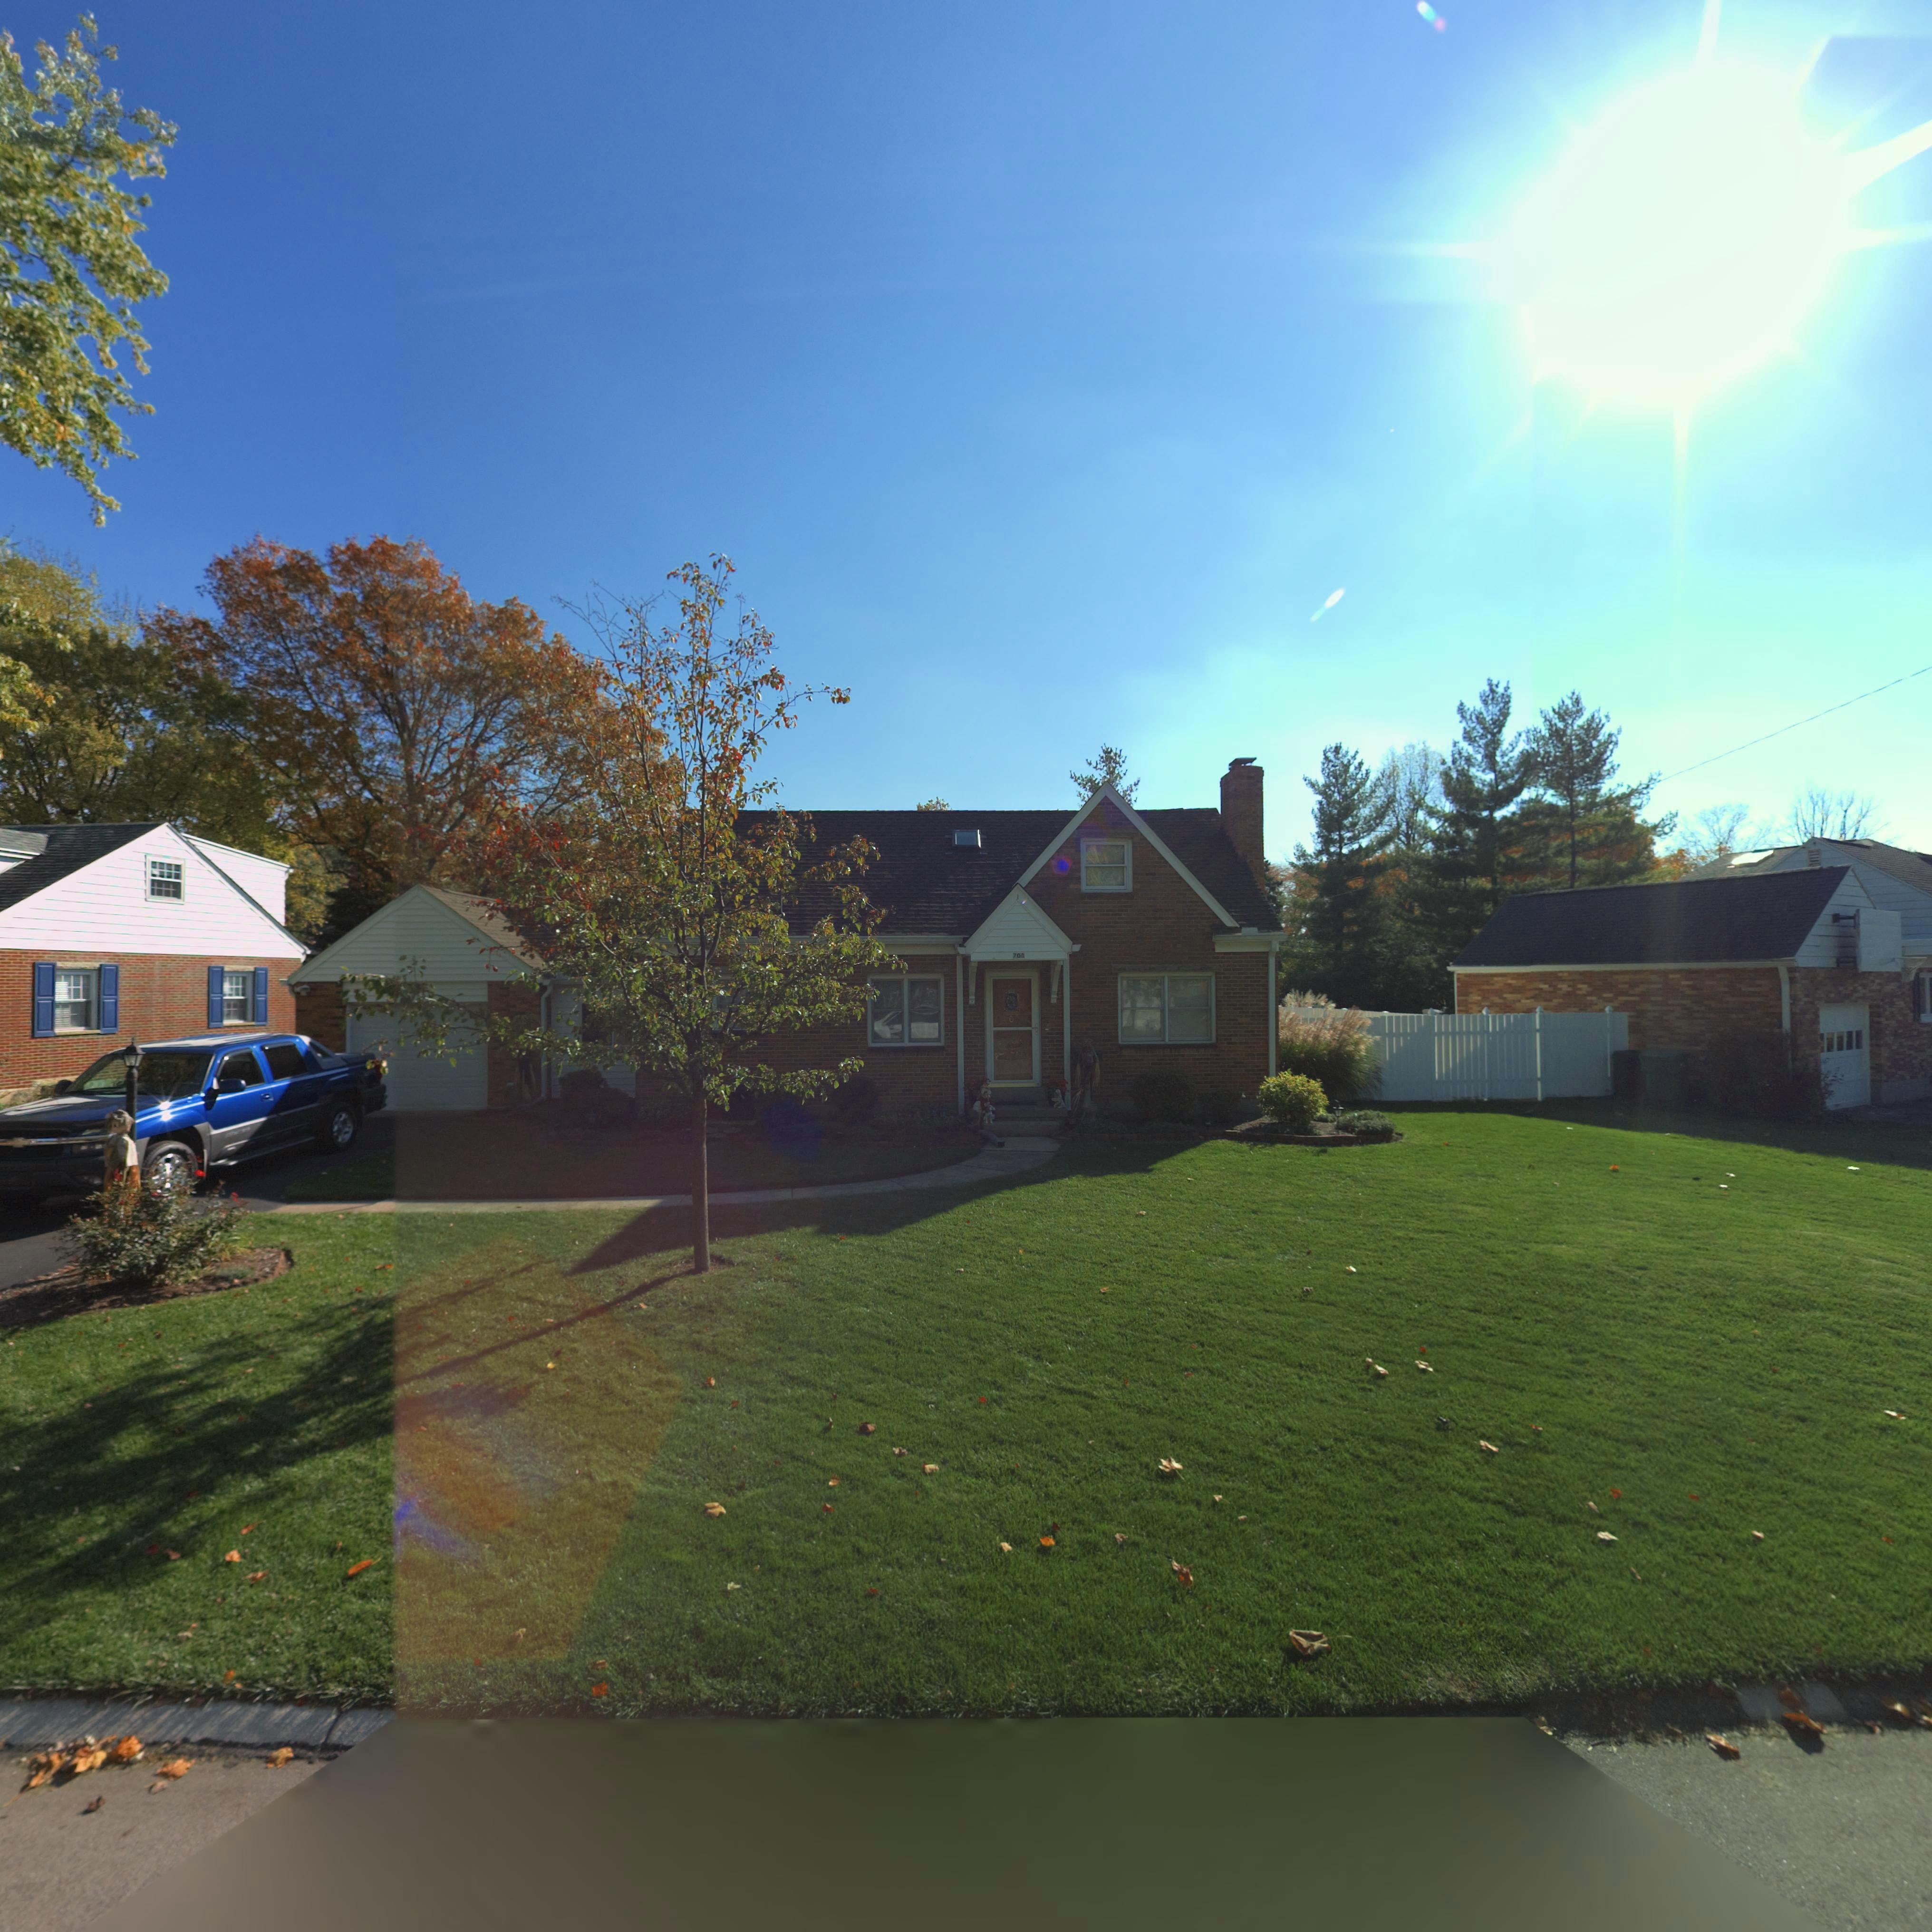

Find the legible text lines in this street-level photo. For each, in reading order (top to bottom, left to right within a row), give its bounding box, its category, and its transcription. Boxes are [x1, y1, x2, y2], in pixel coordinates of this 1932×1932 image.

[1012, 952, 1025, 959] StreetNumber: 70*